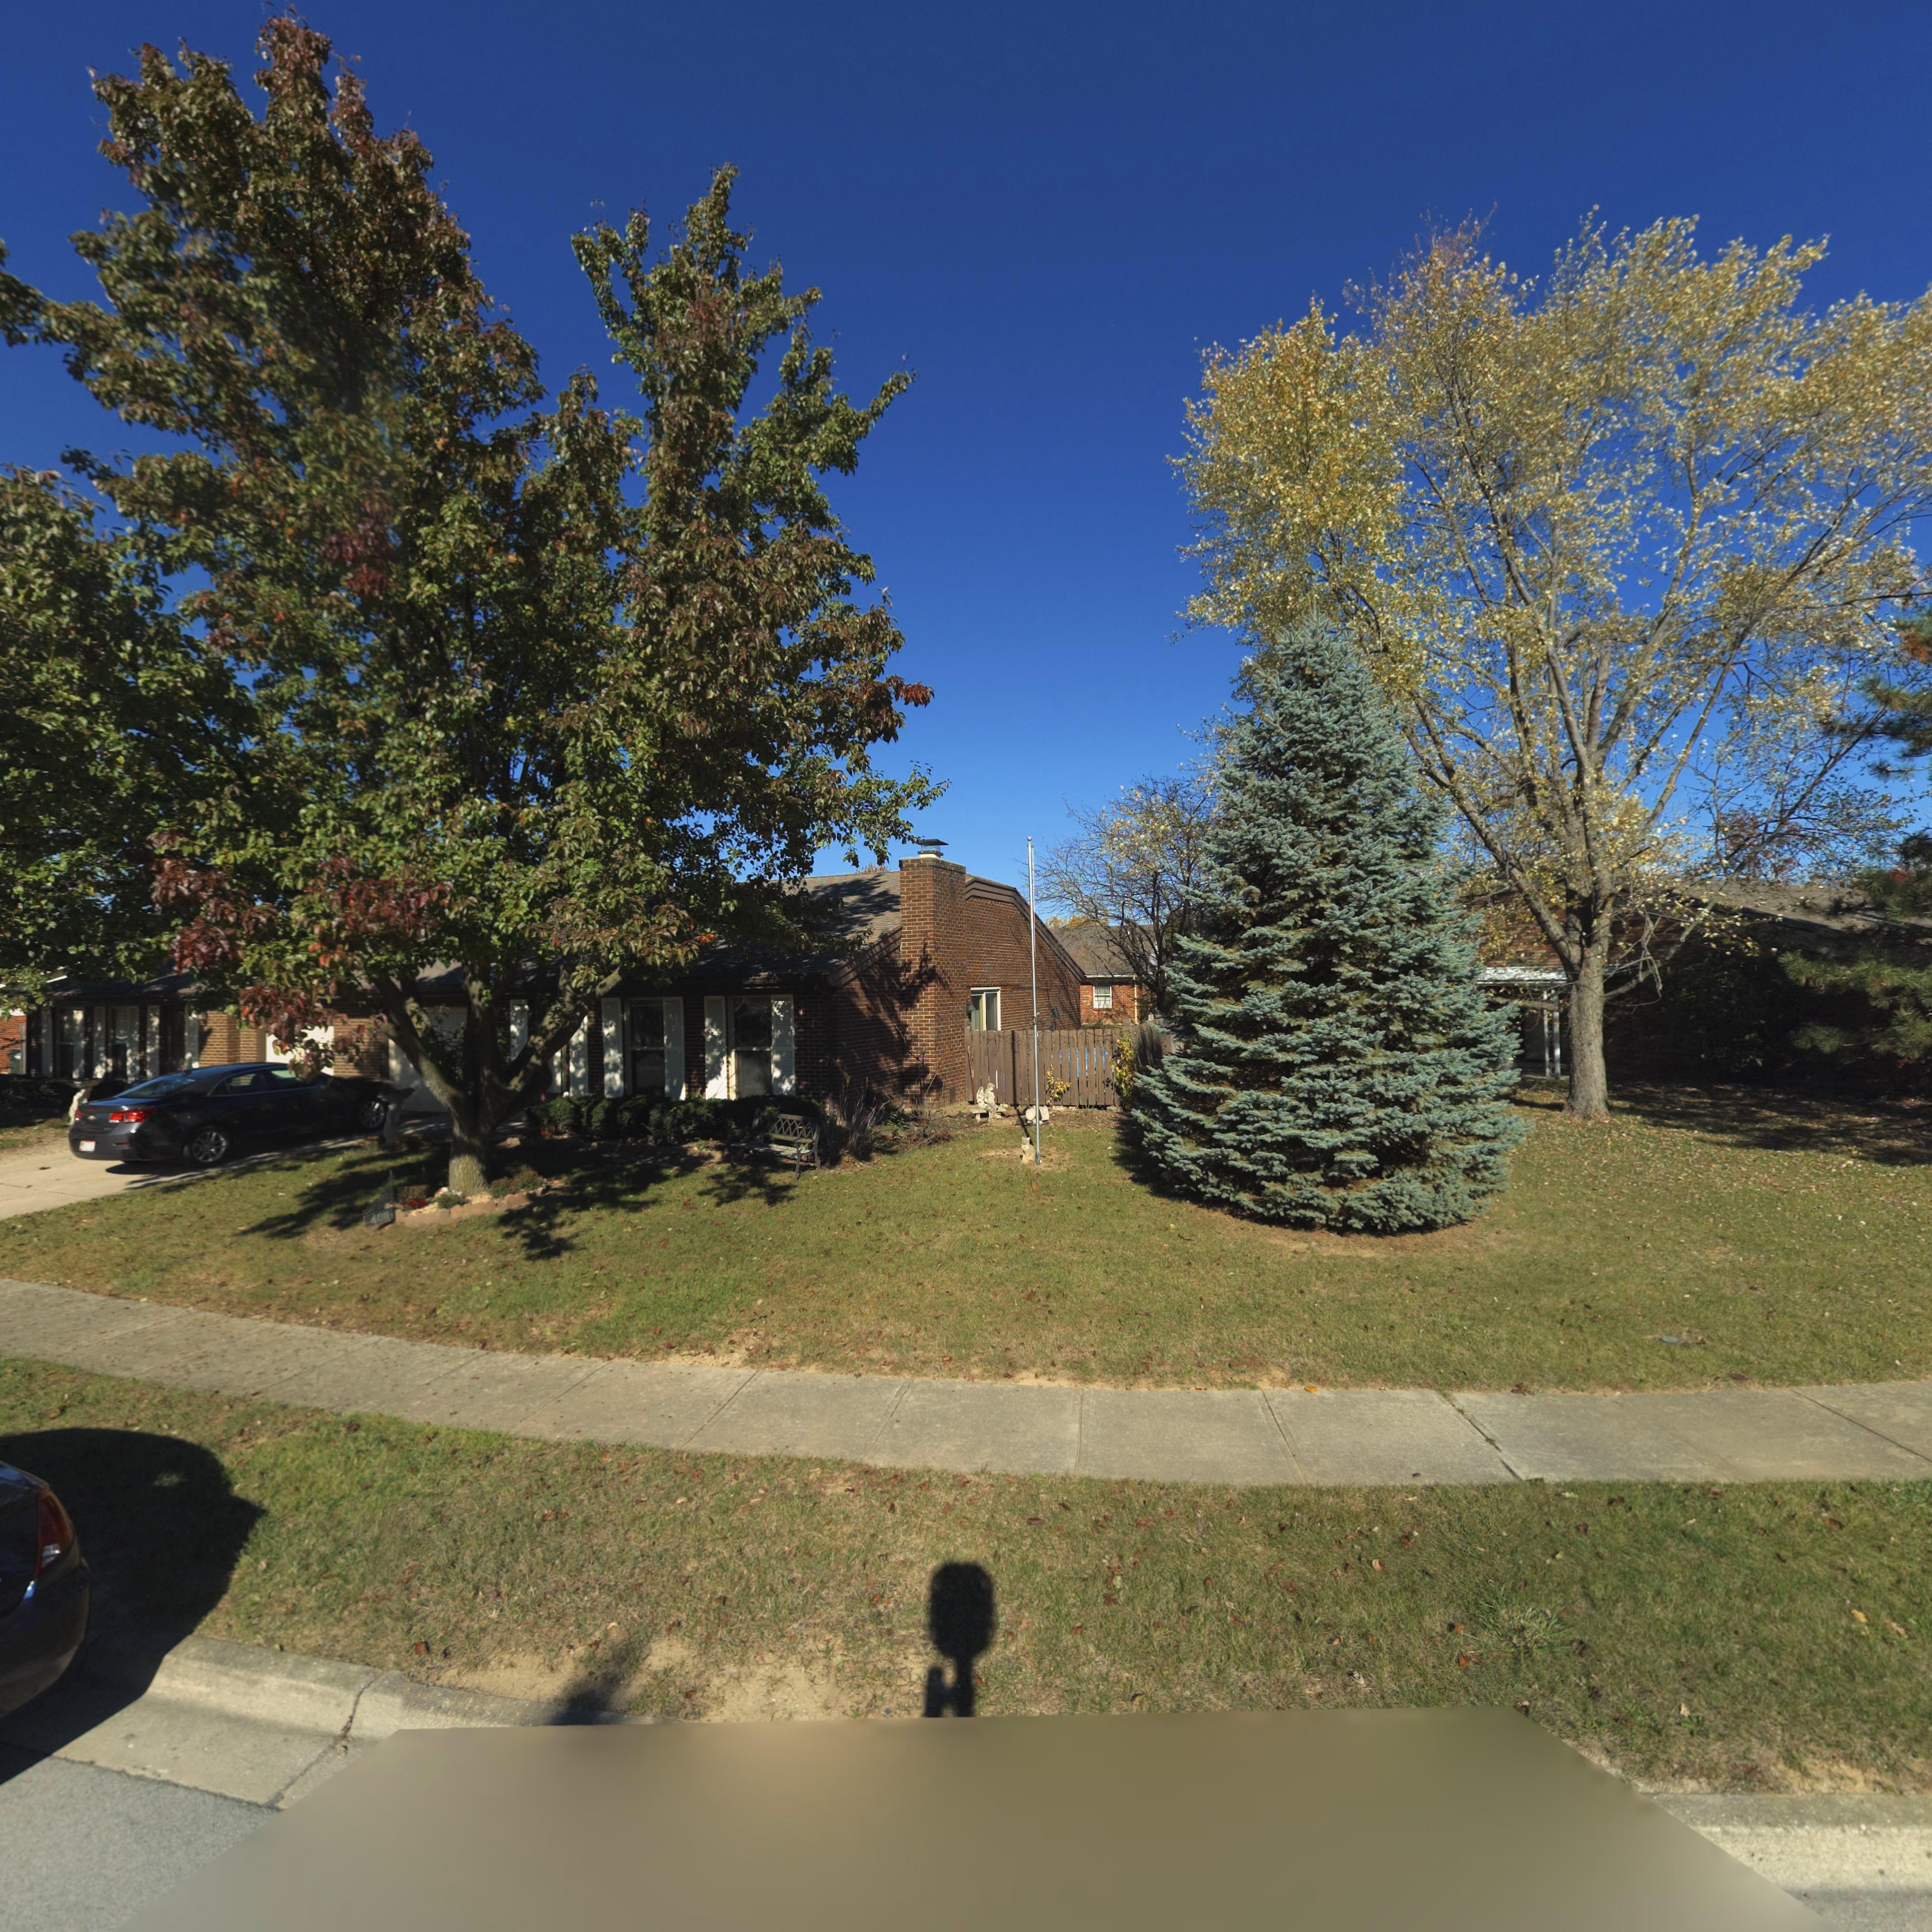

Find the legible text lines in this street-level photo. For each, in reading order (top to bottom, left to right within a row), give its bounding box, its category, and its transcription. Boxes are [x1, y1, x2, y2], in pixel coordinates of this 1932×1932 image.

[369, 1210, 390, 1225] StreetNumber: 4011